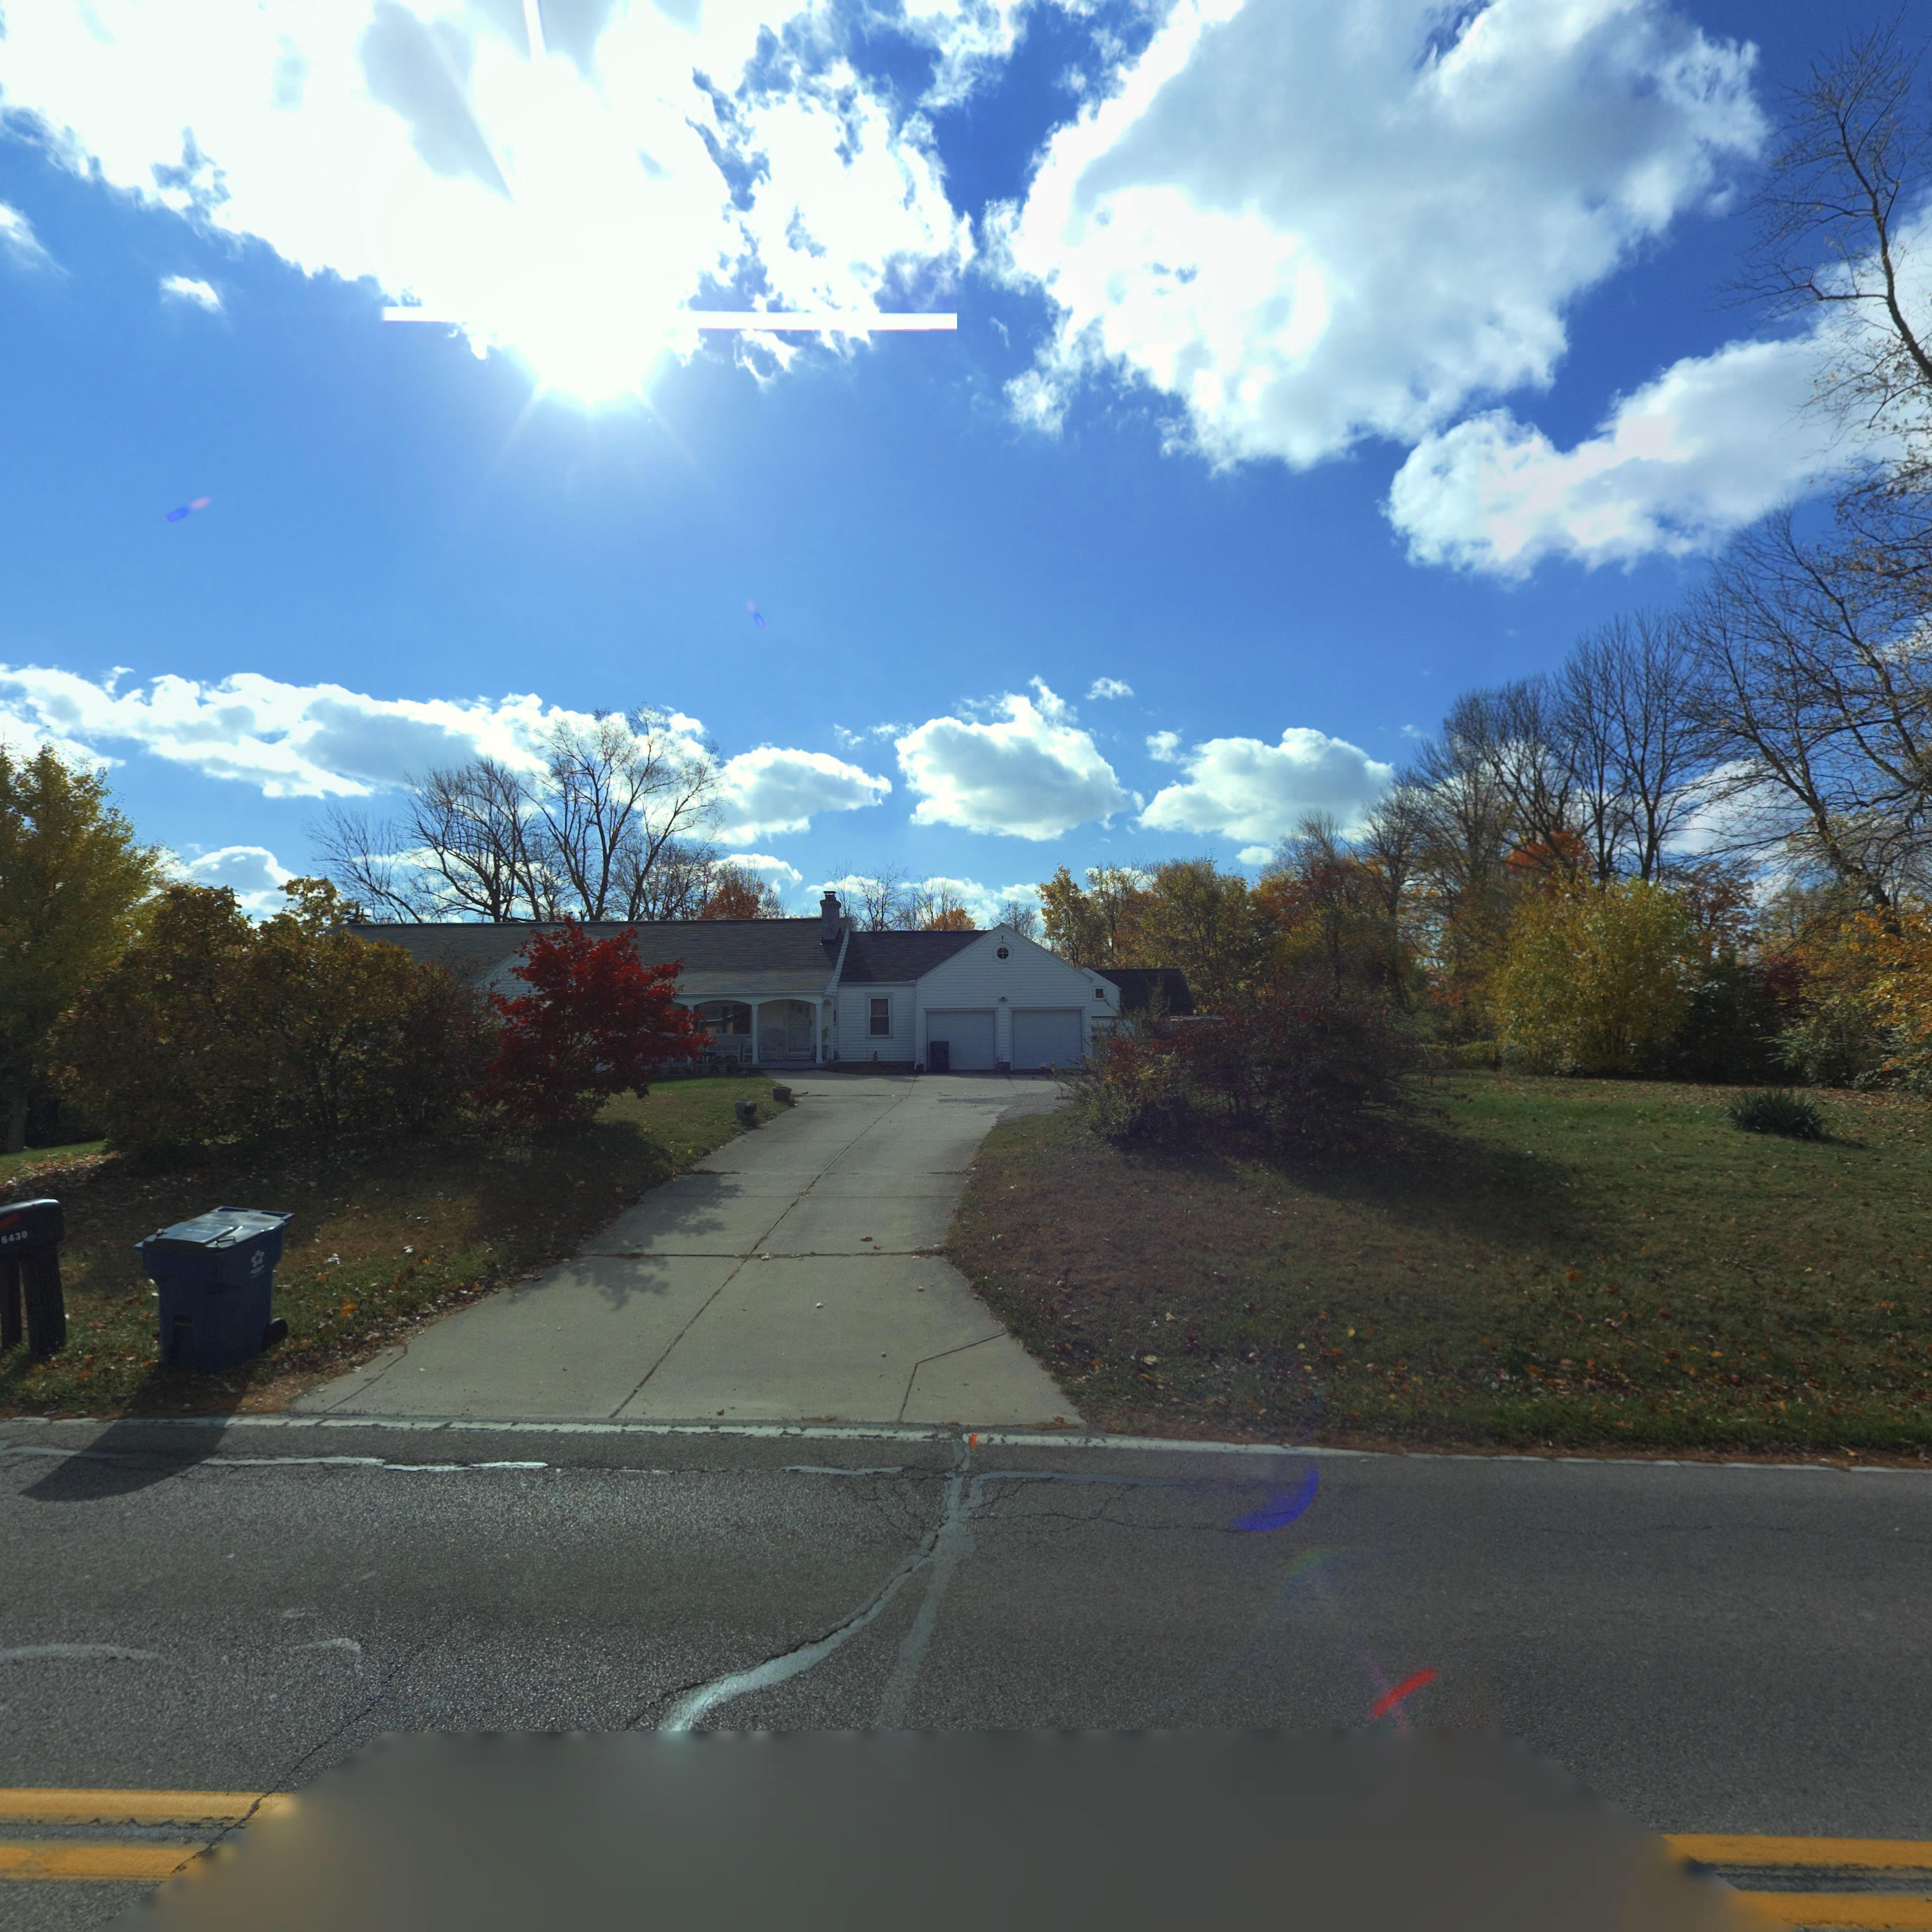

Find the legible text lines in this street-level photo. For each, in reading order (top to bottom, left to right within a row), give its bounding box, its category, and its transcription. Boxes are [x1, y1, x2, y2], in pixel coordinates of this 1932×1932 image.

[0, 1229, 29, 1244] StreetNumber: 6430